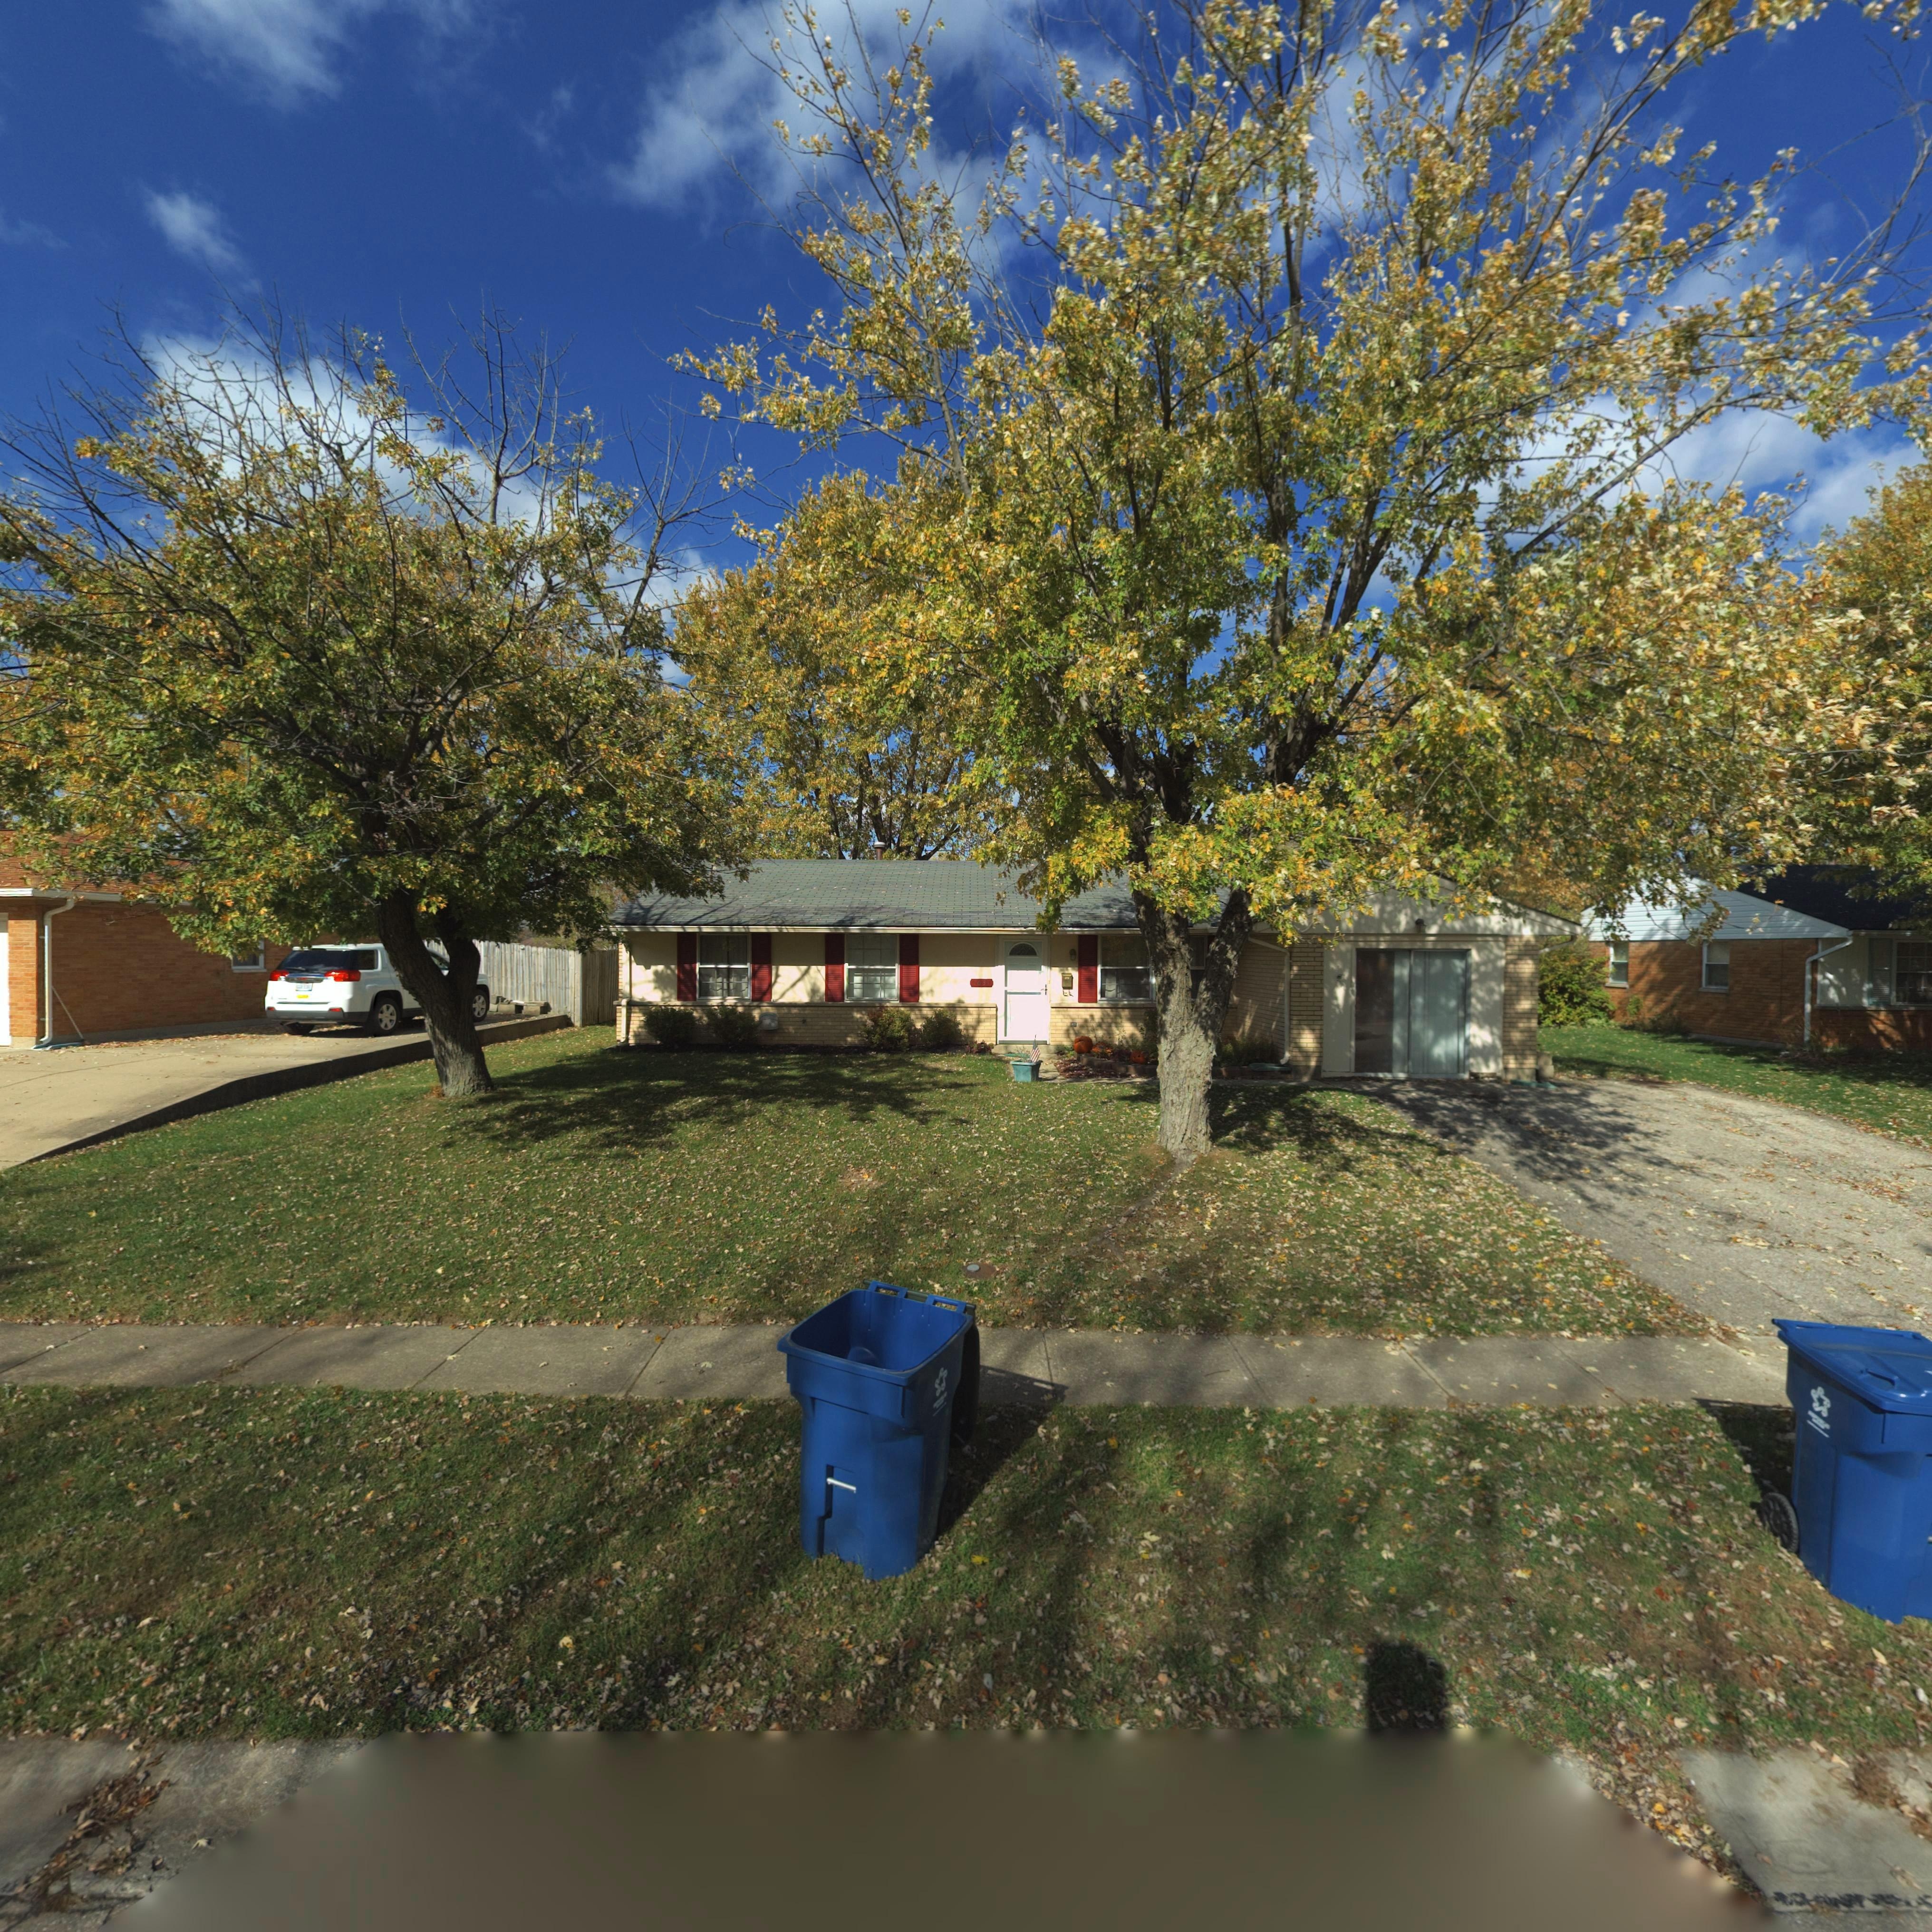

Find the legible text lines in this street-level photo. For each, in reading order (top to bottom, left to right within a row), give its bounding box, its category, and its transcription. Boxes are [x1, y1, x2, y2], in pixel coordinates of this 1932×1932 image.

[973, 979, 989, 986] StreetNumber: 7631